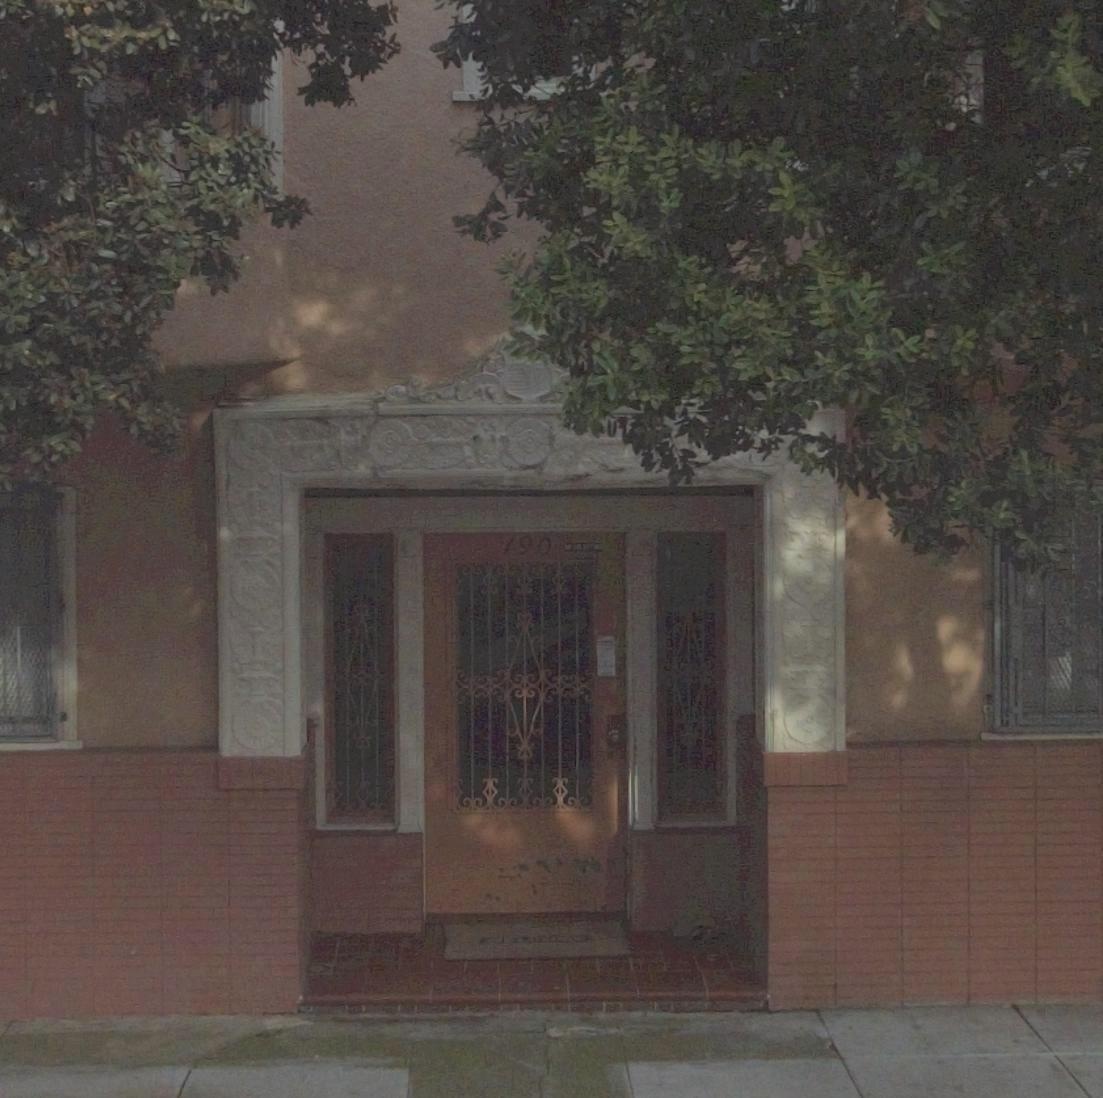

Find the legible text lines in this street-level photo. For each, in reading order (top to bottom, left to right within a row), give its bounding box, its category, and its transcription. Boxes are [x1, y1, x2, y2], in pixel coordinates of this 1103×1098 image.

[501, 532, 553, 556] StreetNumber: 190